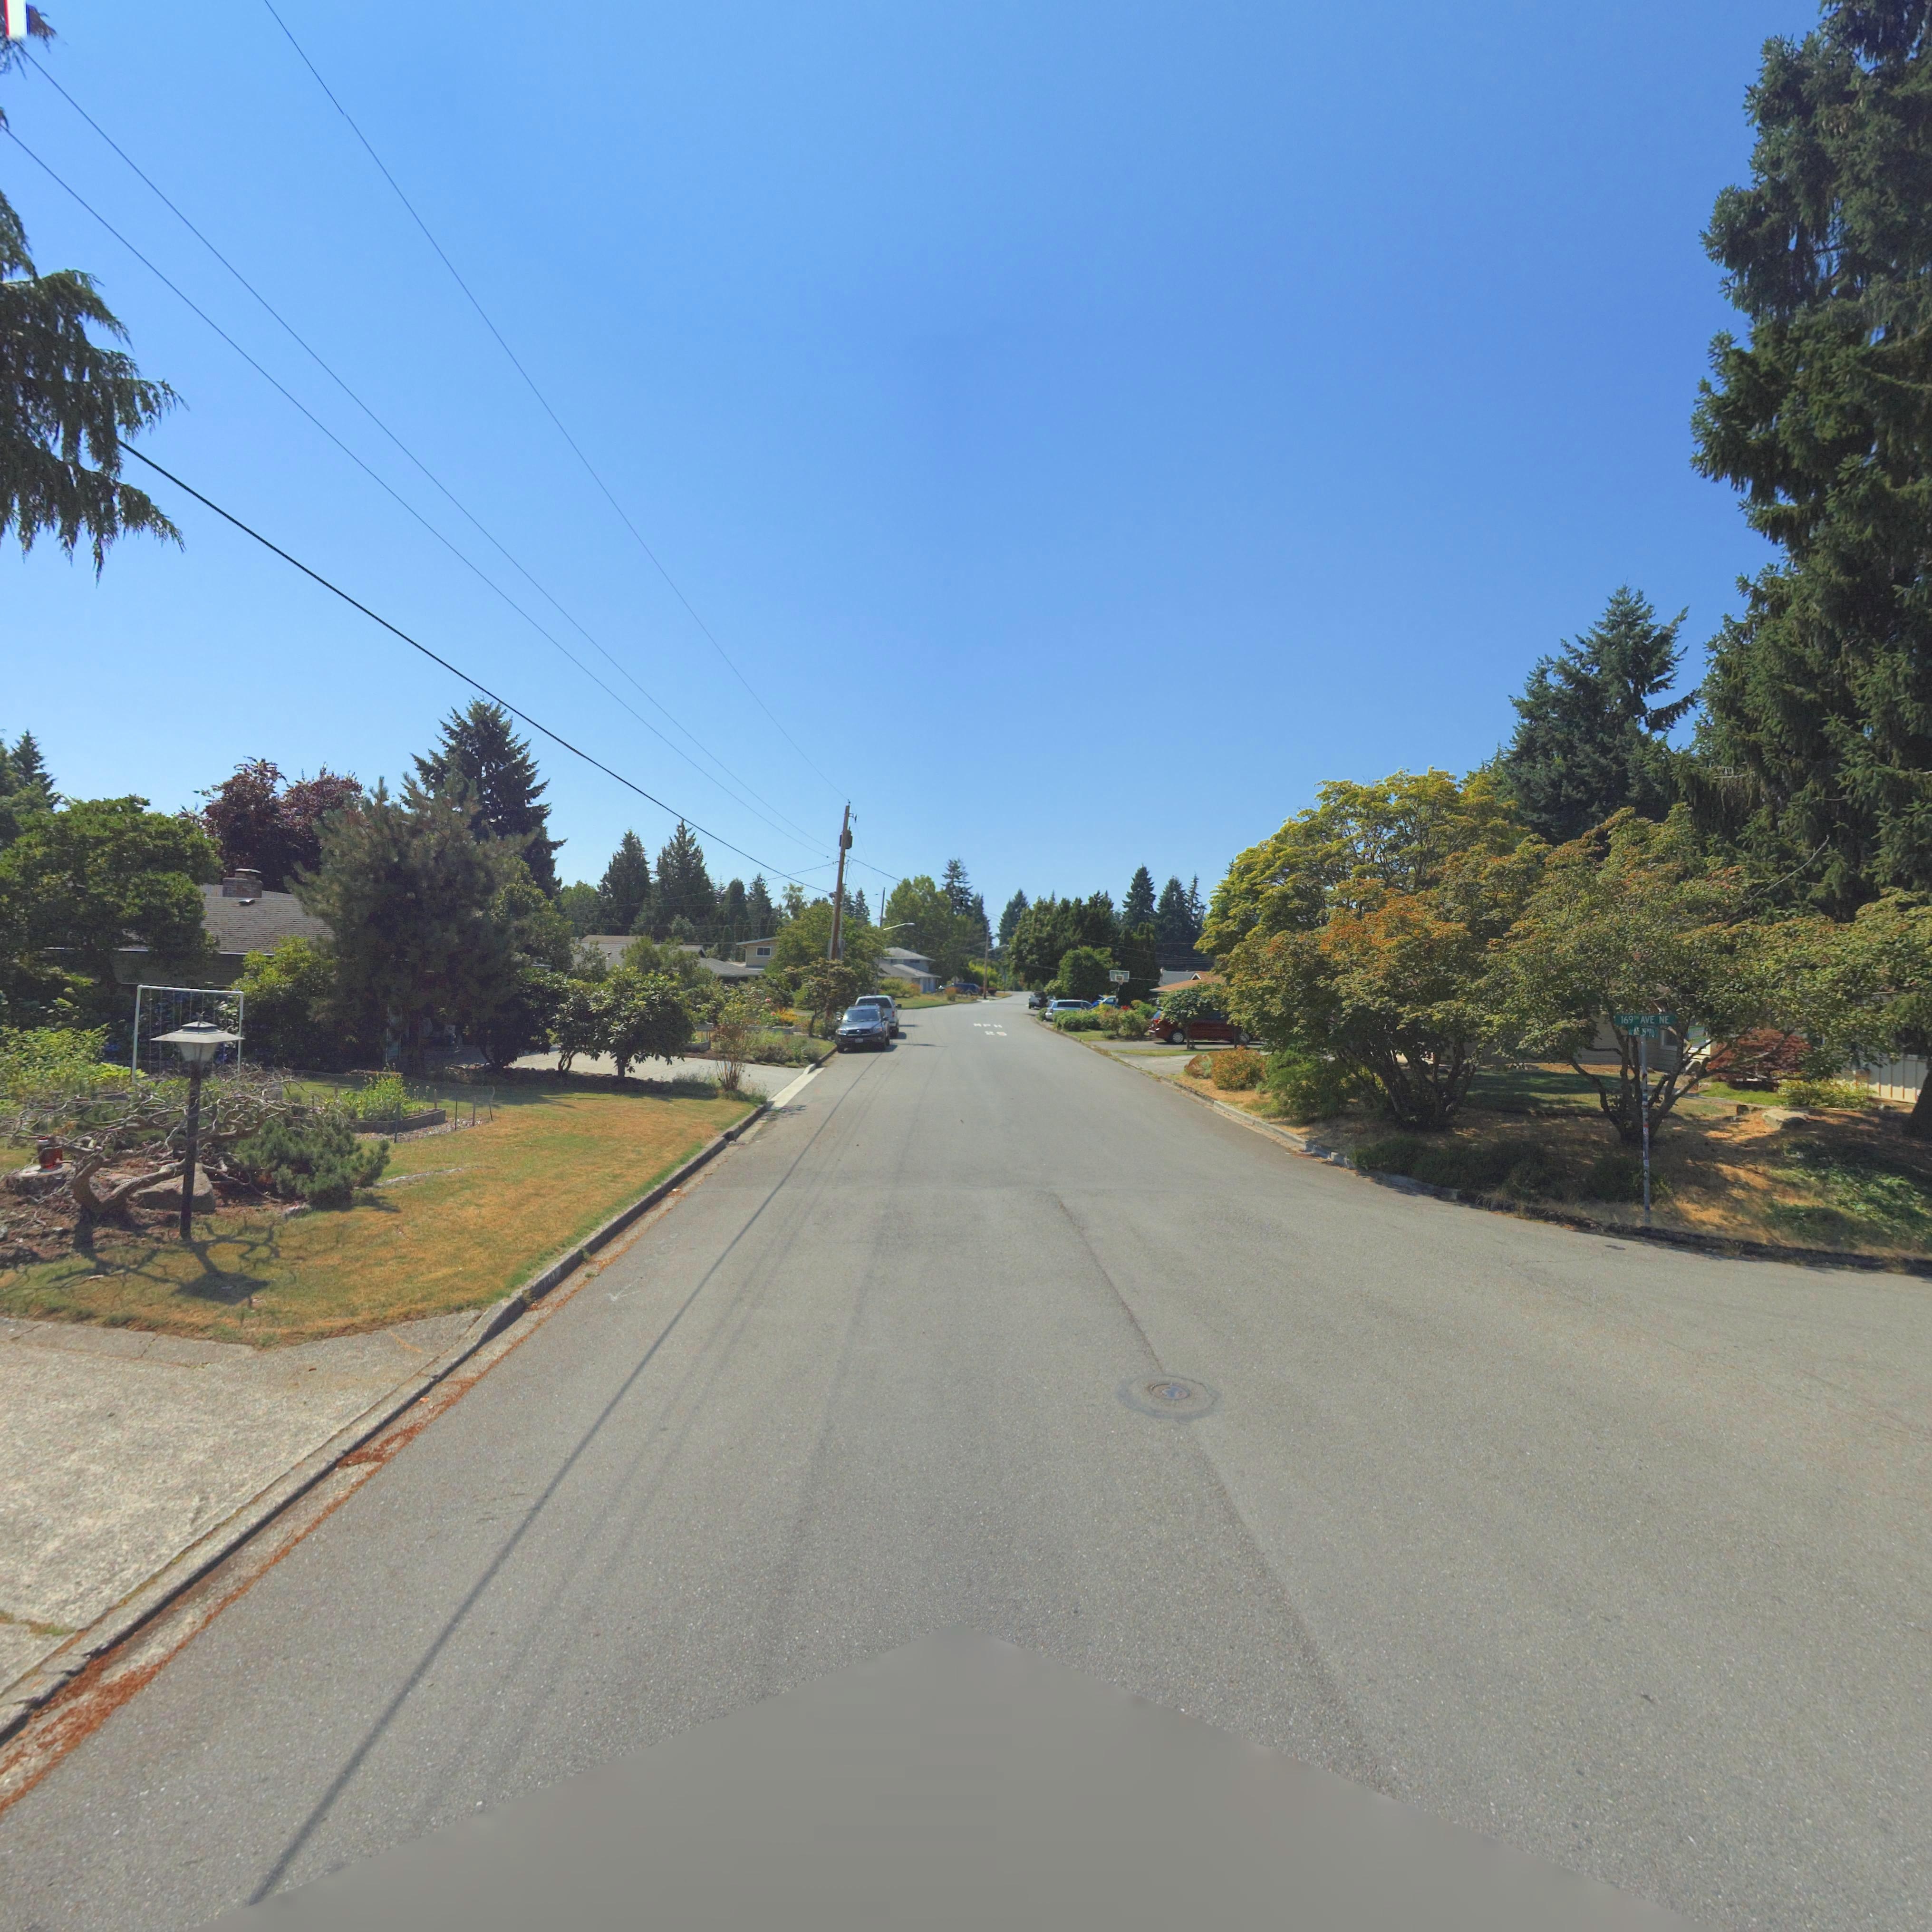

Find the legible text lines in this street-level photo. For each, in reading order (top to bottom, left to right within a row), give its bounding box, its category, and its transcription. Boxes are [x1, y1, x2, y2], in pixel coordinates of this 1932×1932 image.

[1620, 1015, 1670, 1024] StreetName: 169th AVE NE